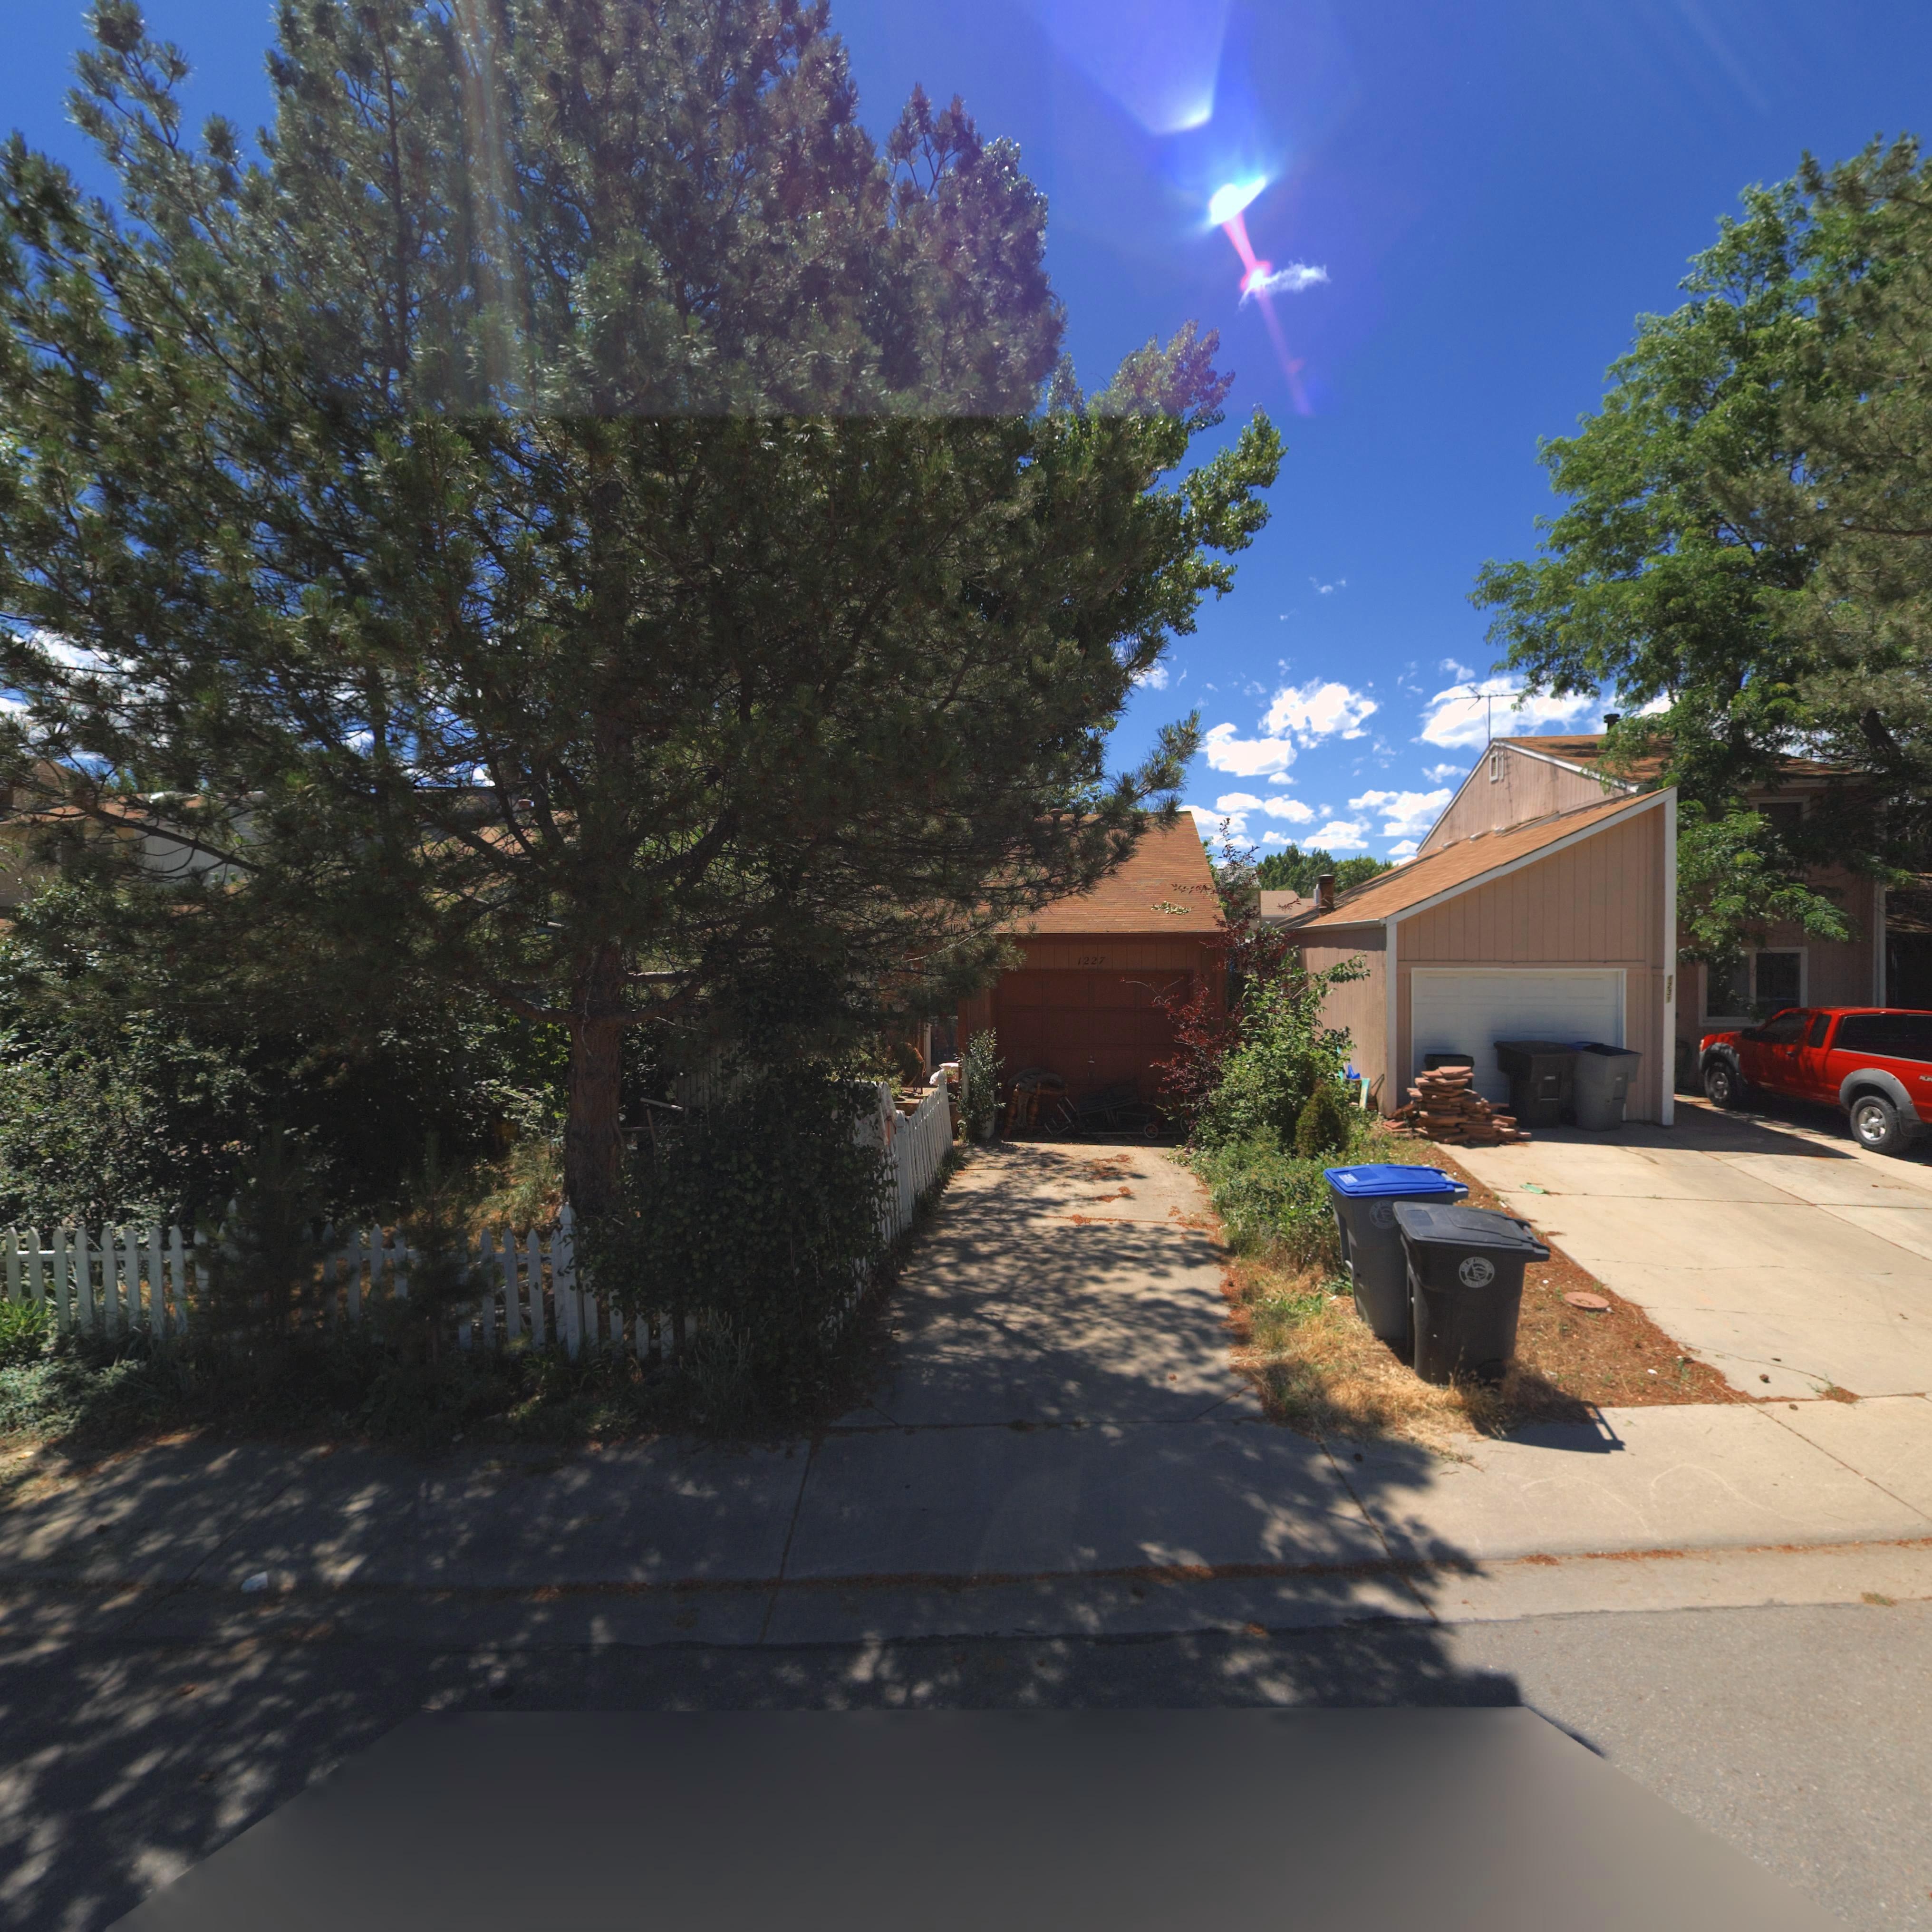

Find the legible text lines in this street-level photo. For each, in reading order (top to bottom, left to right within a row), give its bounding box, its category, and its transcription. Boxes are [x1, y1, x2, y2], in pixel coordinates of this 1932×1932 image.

[1077, 956, 1107, 966] StreetNumber: 1227
[1666, 974, 1673, 1003] StreetNumber: 1231